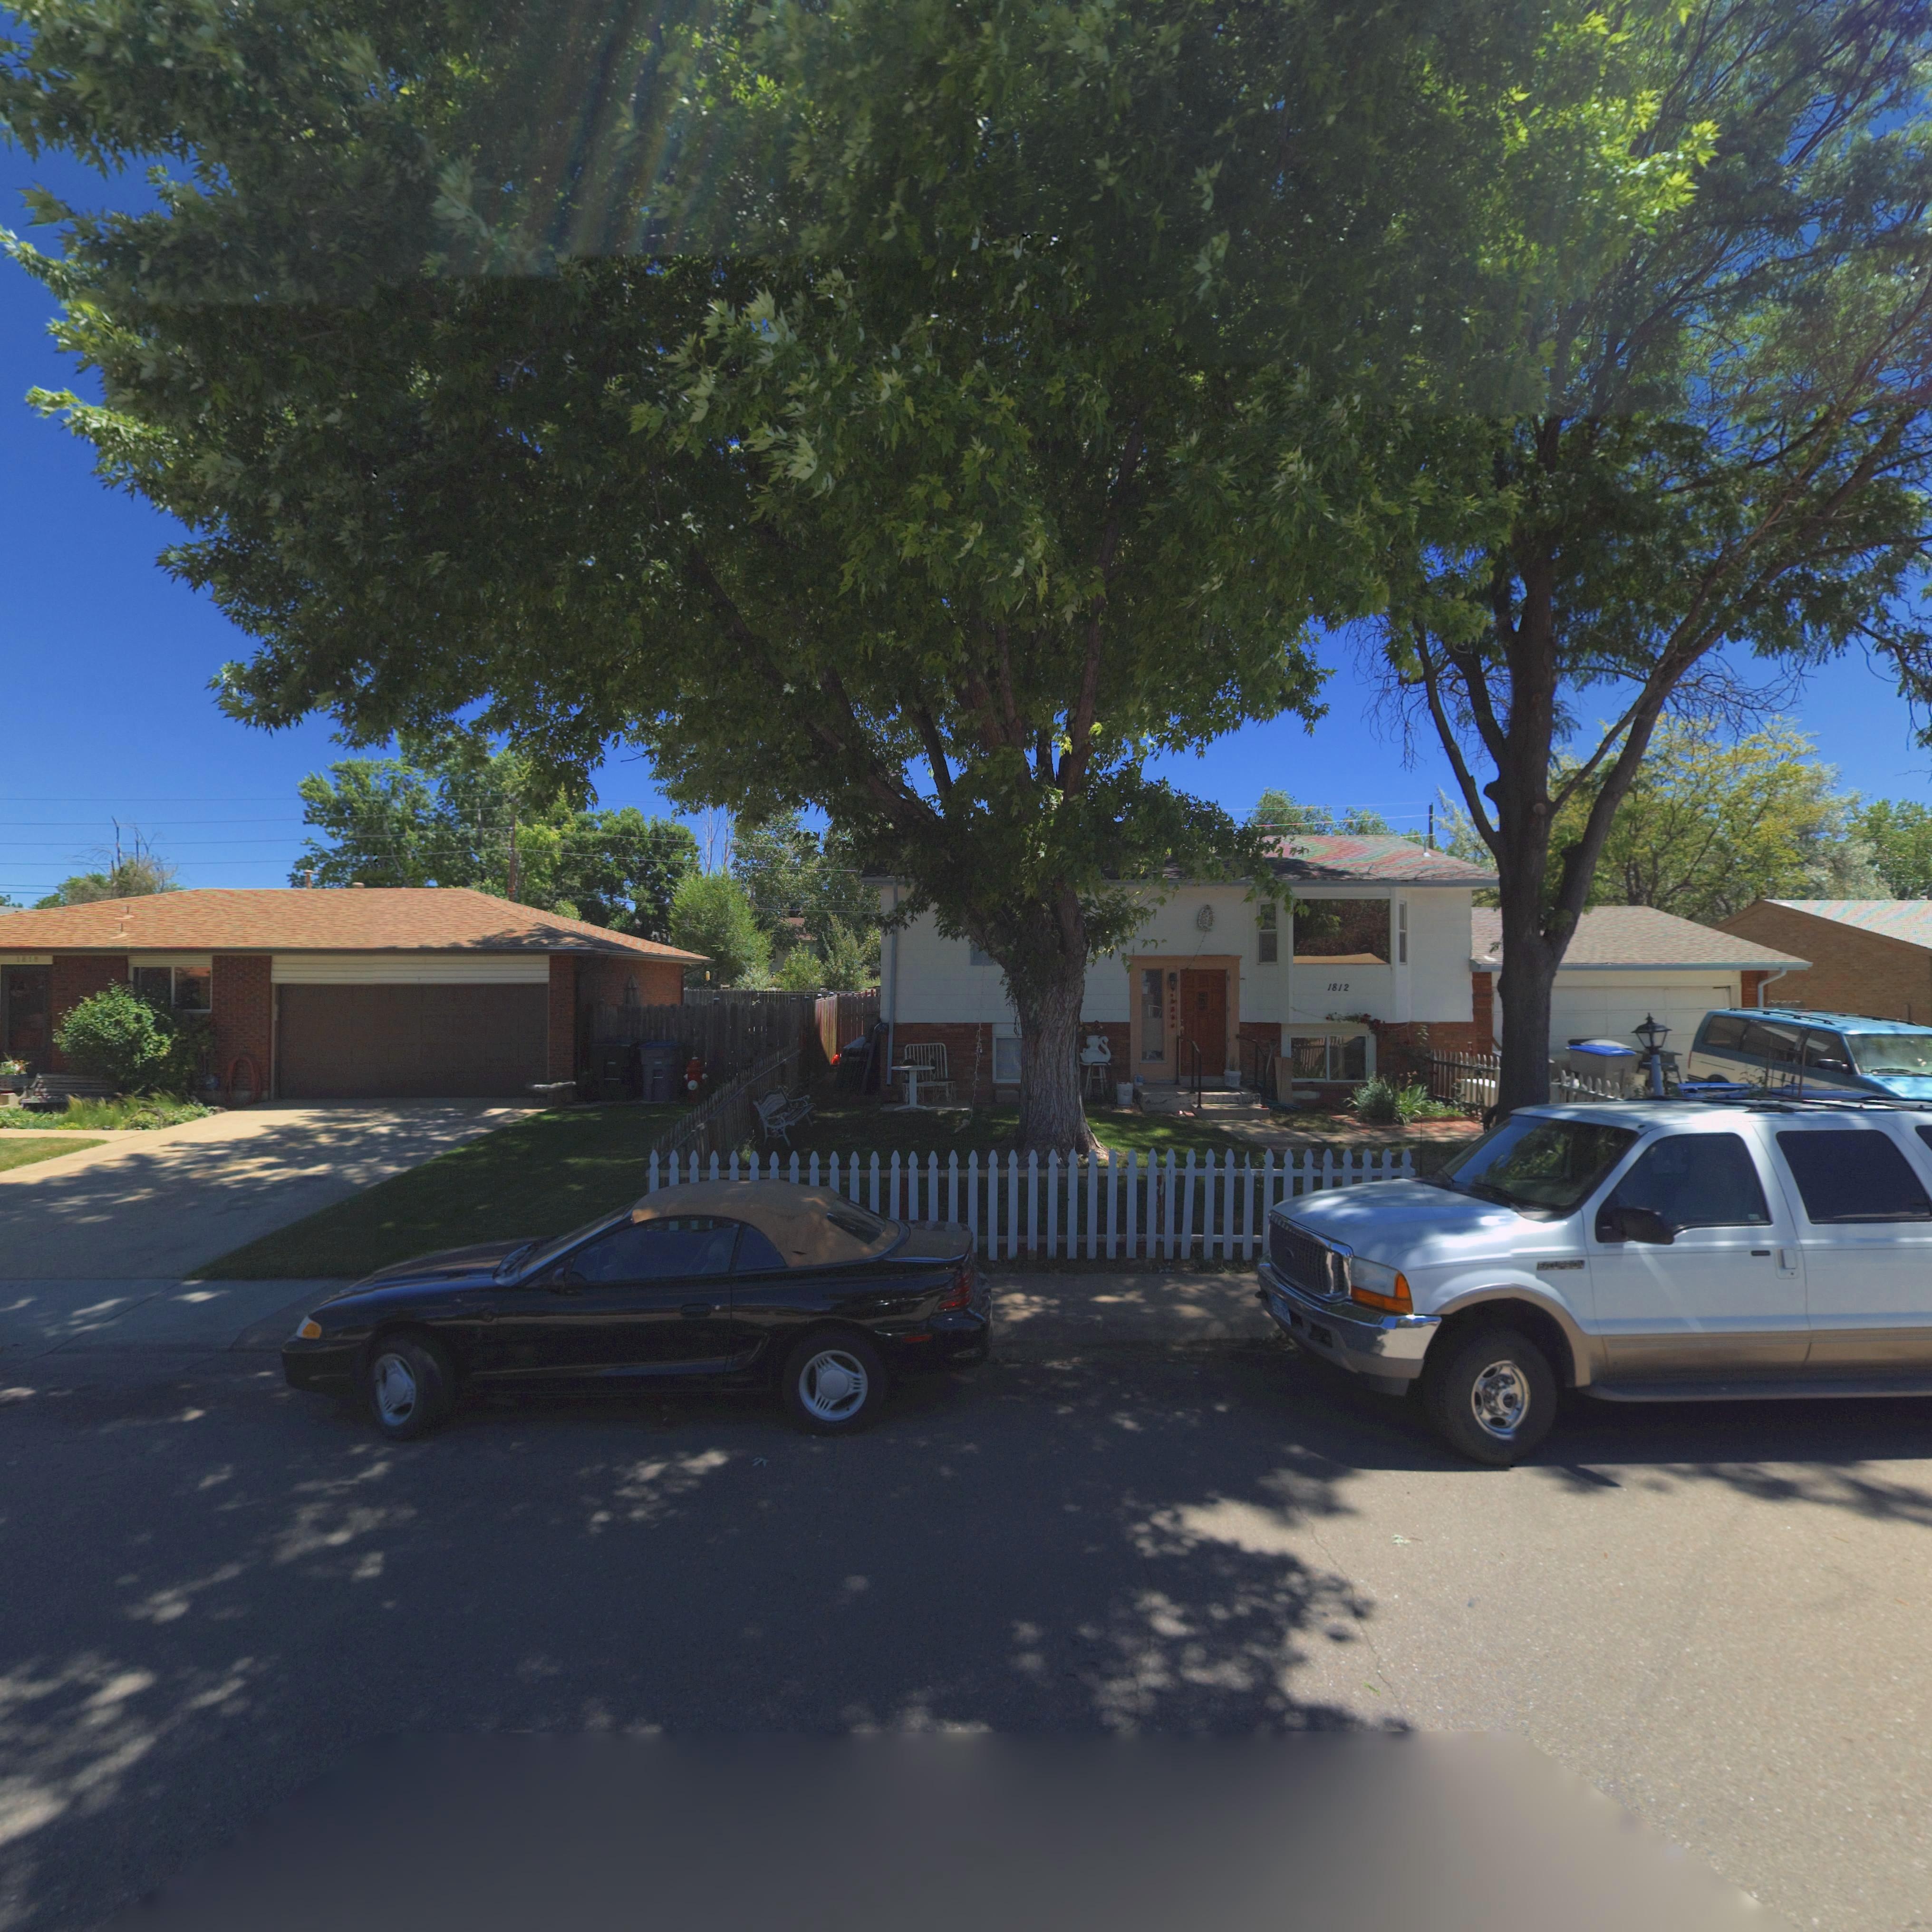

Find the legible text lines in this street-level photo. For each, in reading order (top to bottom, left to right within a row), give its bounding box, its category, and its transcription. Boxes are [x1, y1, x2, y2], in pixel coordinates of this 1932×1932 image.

[17, 956, 39, 962] StreetNumber: 1818
[1327, 983, 1350, 992] StreetNumber: 1812